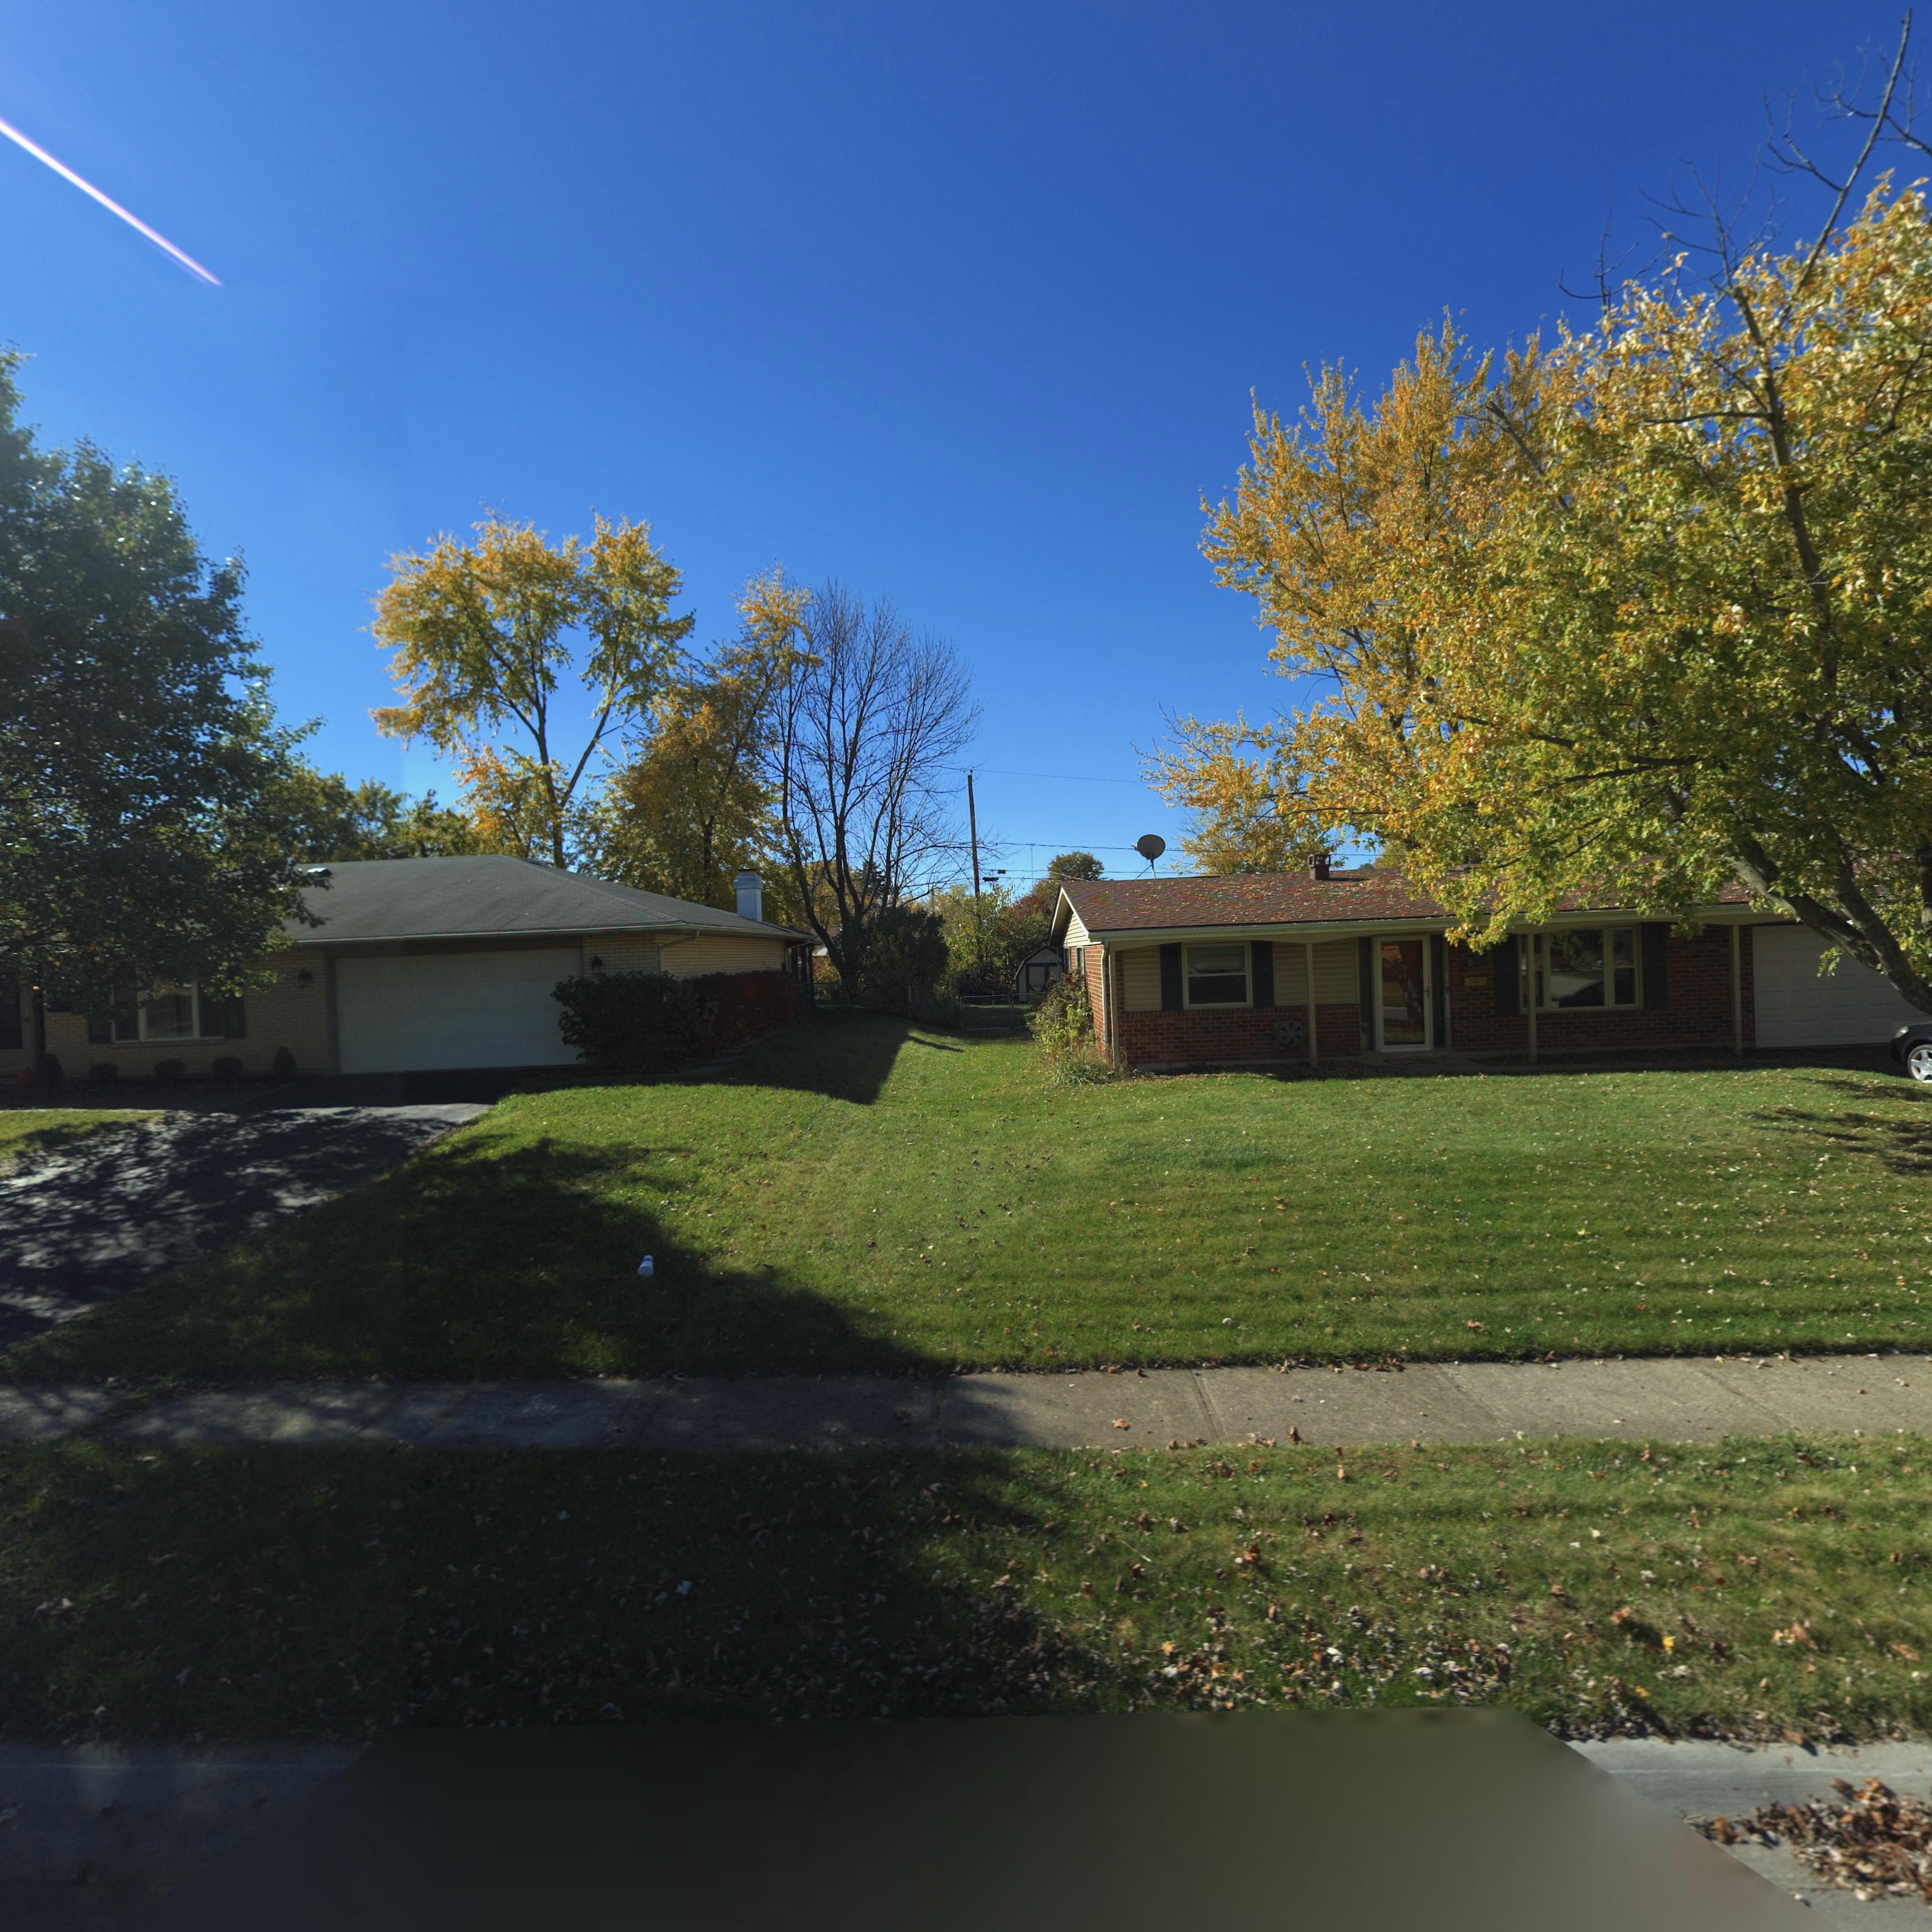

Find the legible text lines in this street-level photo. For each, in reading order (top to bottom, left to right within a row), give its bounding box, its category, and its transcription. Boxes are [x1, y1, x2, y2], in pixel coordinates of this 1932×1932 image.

[1467, 959, 1474, 967] StreetNumber: 0